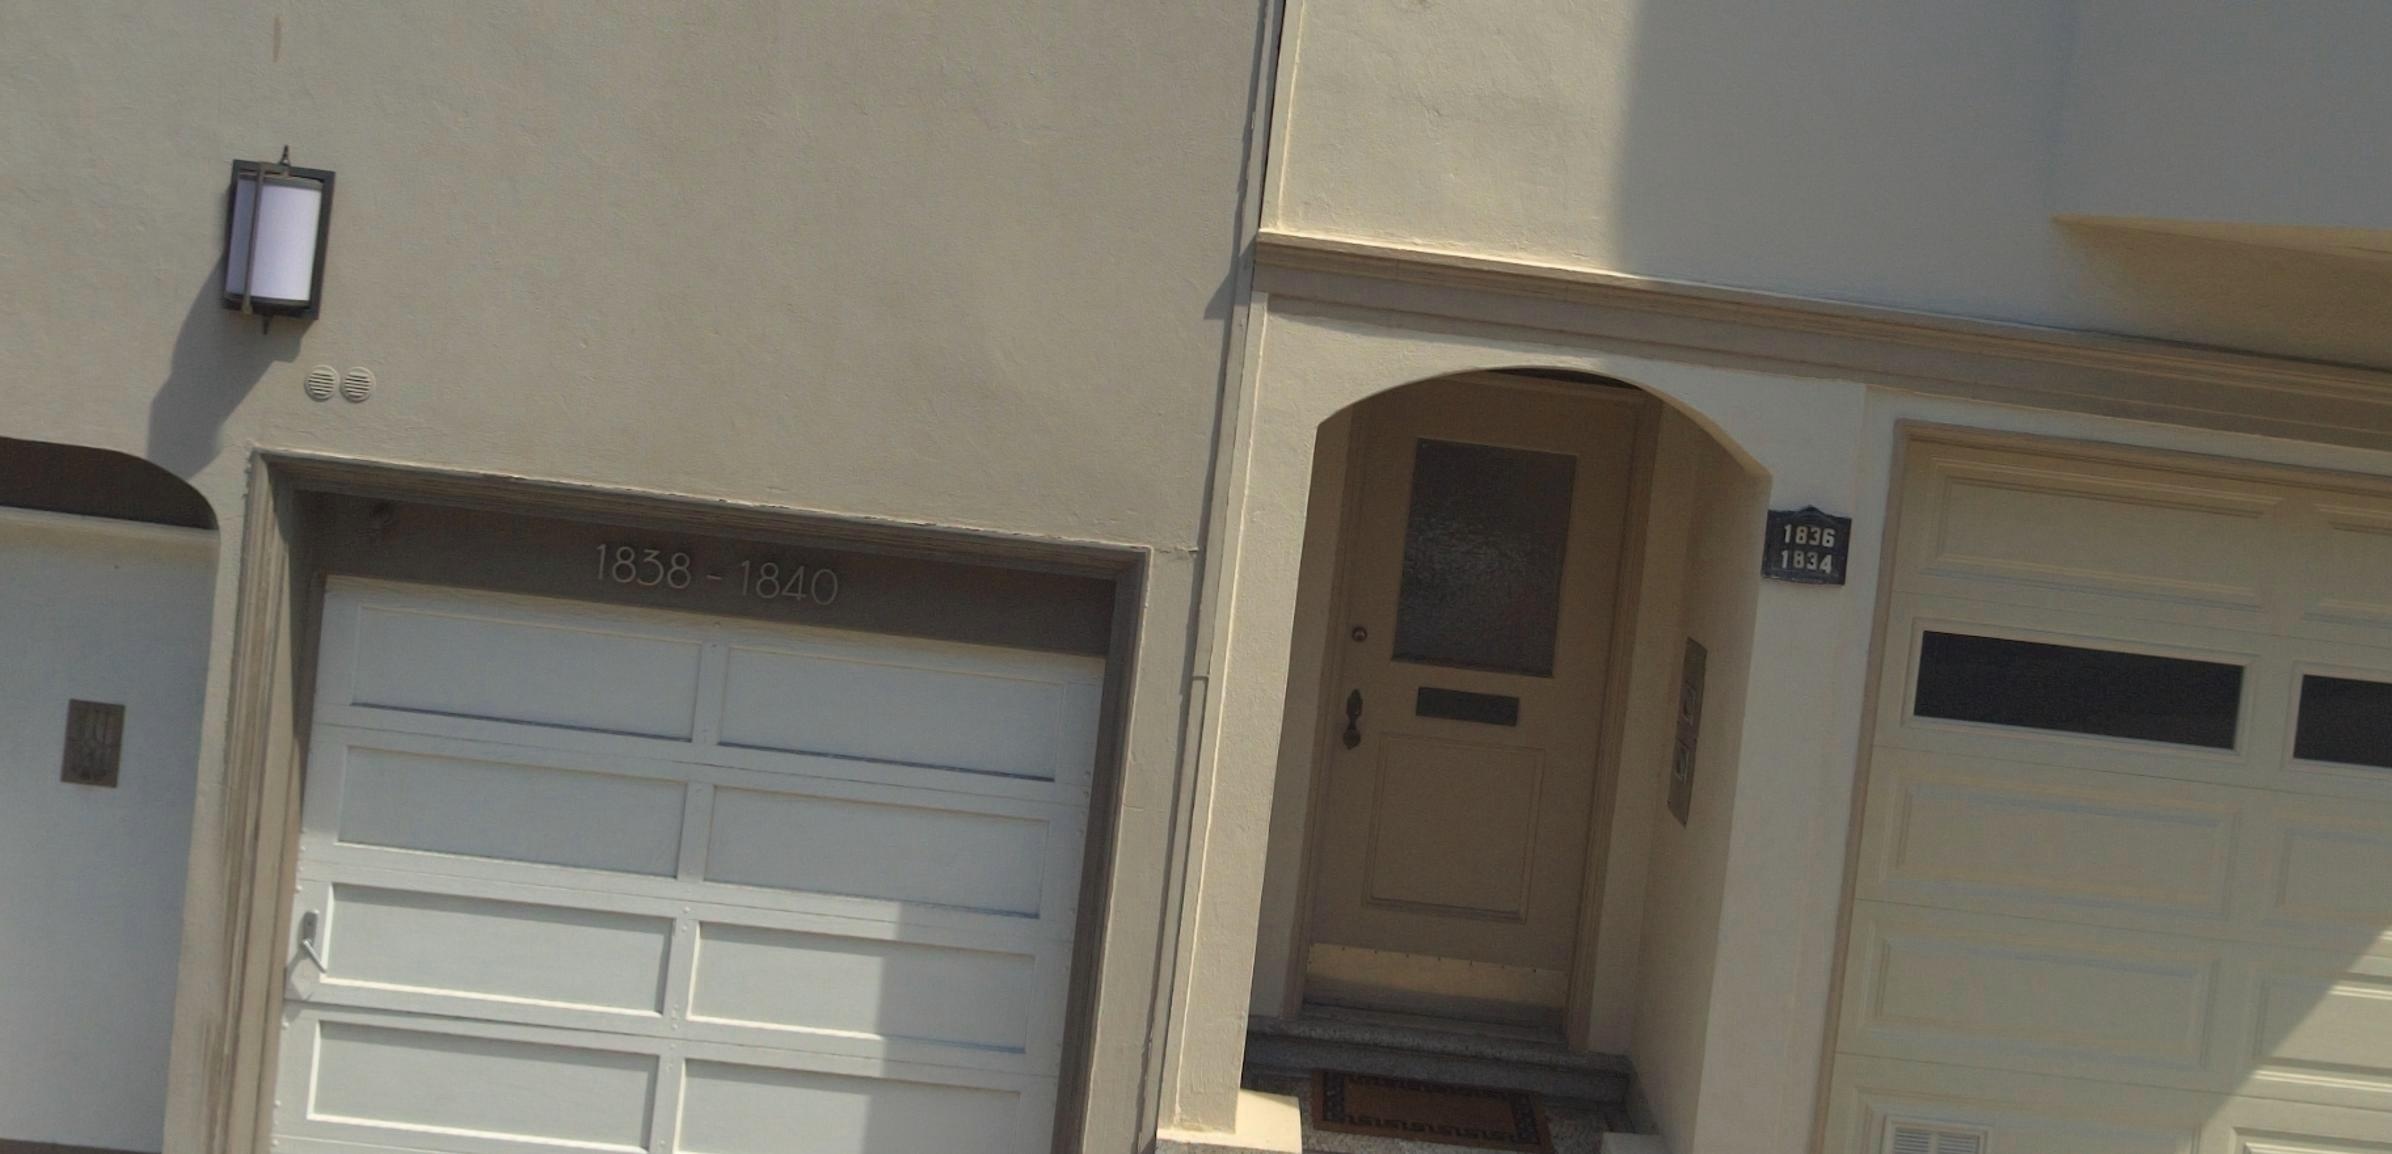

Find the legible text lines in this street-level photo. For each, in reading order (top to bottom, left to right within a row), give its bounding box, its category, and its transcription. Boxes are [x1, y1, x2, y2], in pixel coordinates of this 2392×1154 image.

[1781, 520, 1840, 549] StreetNumber: 1836
[592, 538, 843, 610] StreetNumberRange: 1838-1840
[1779, 547, 1835, 576] StreetNumber: 1834